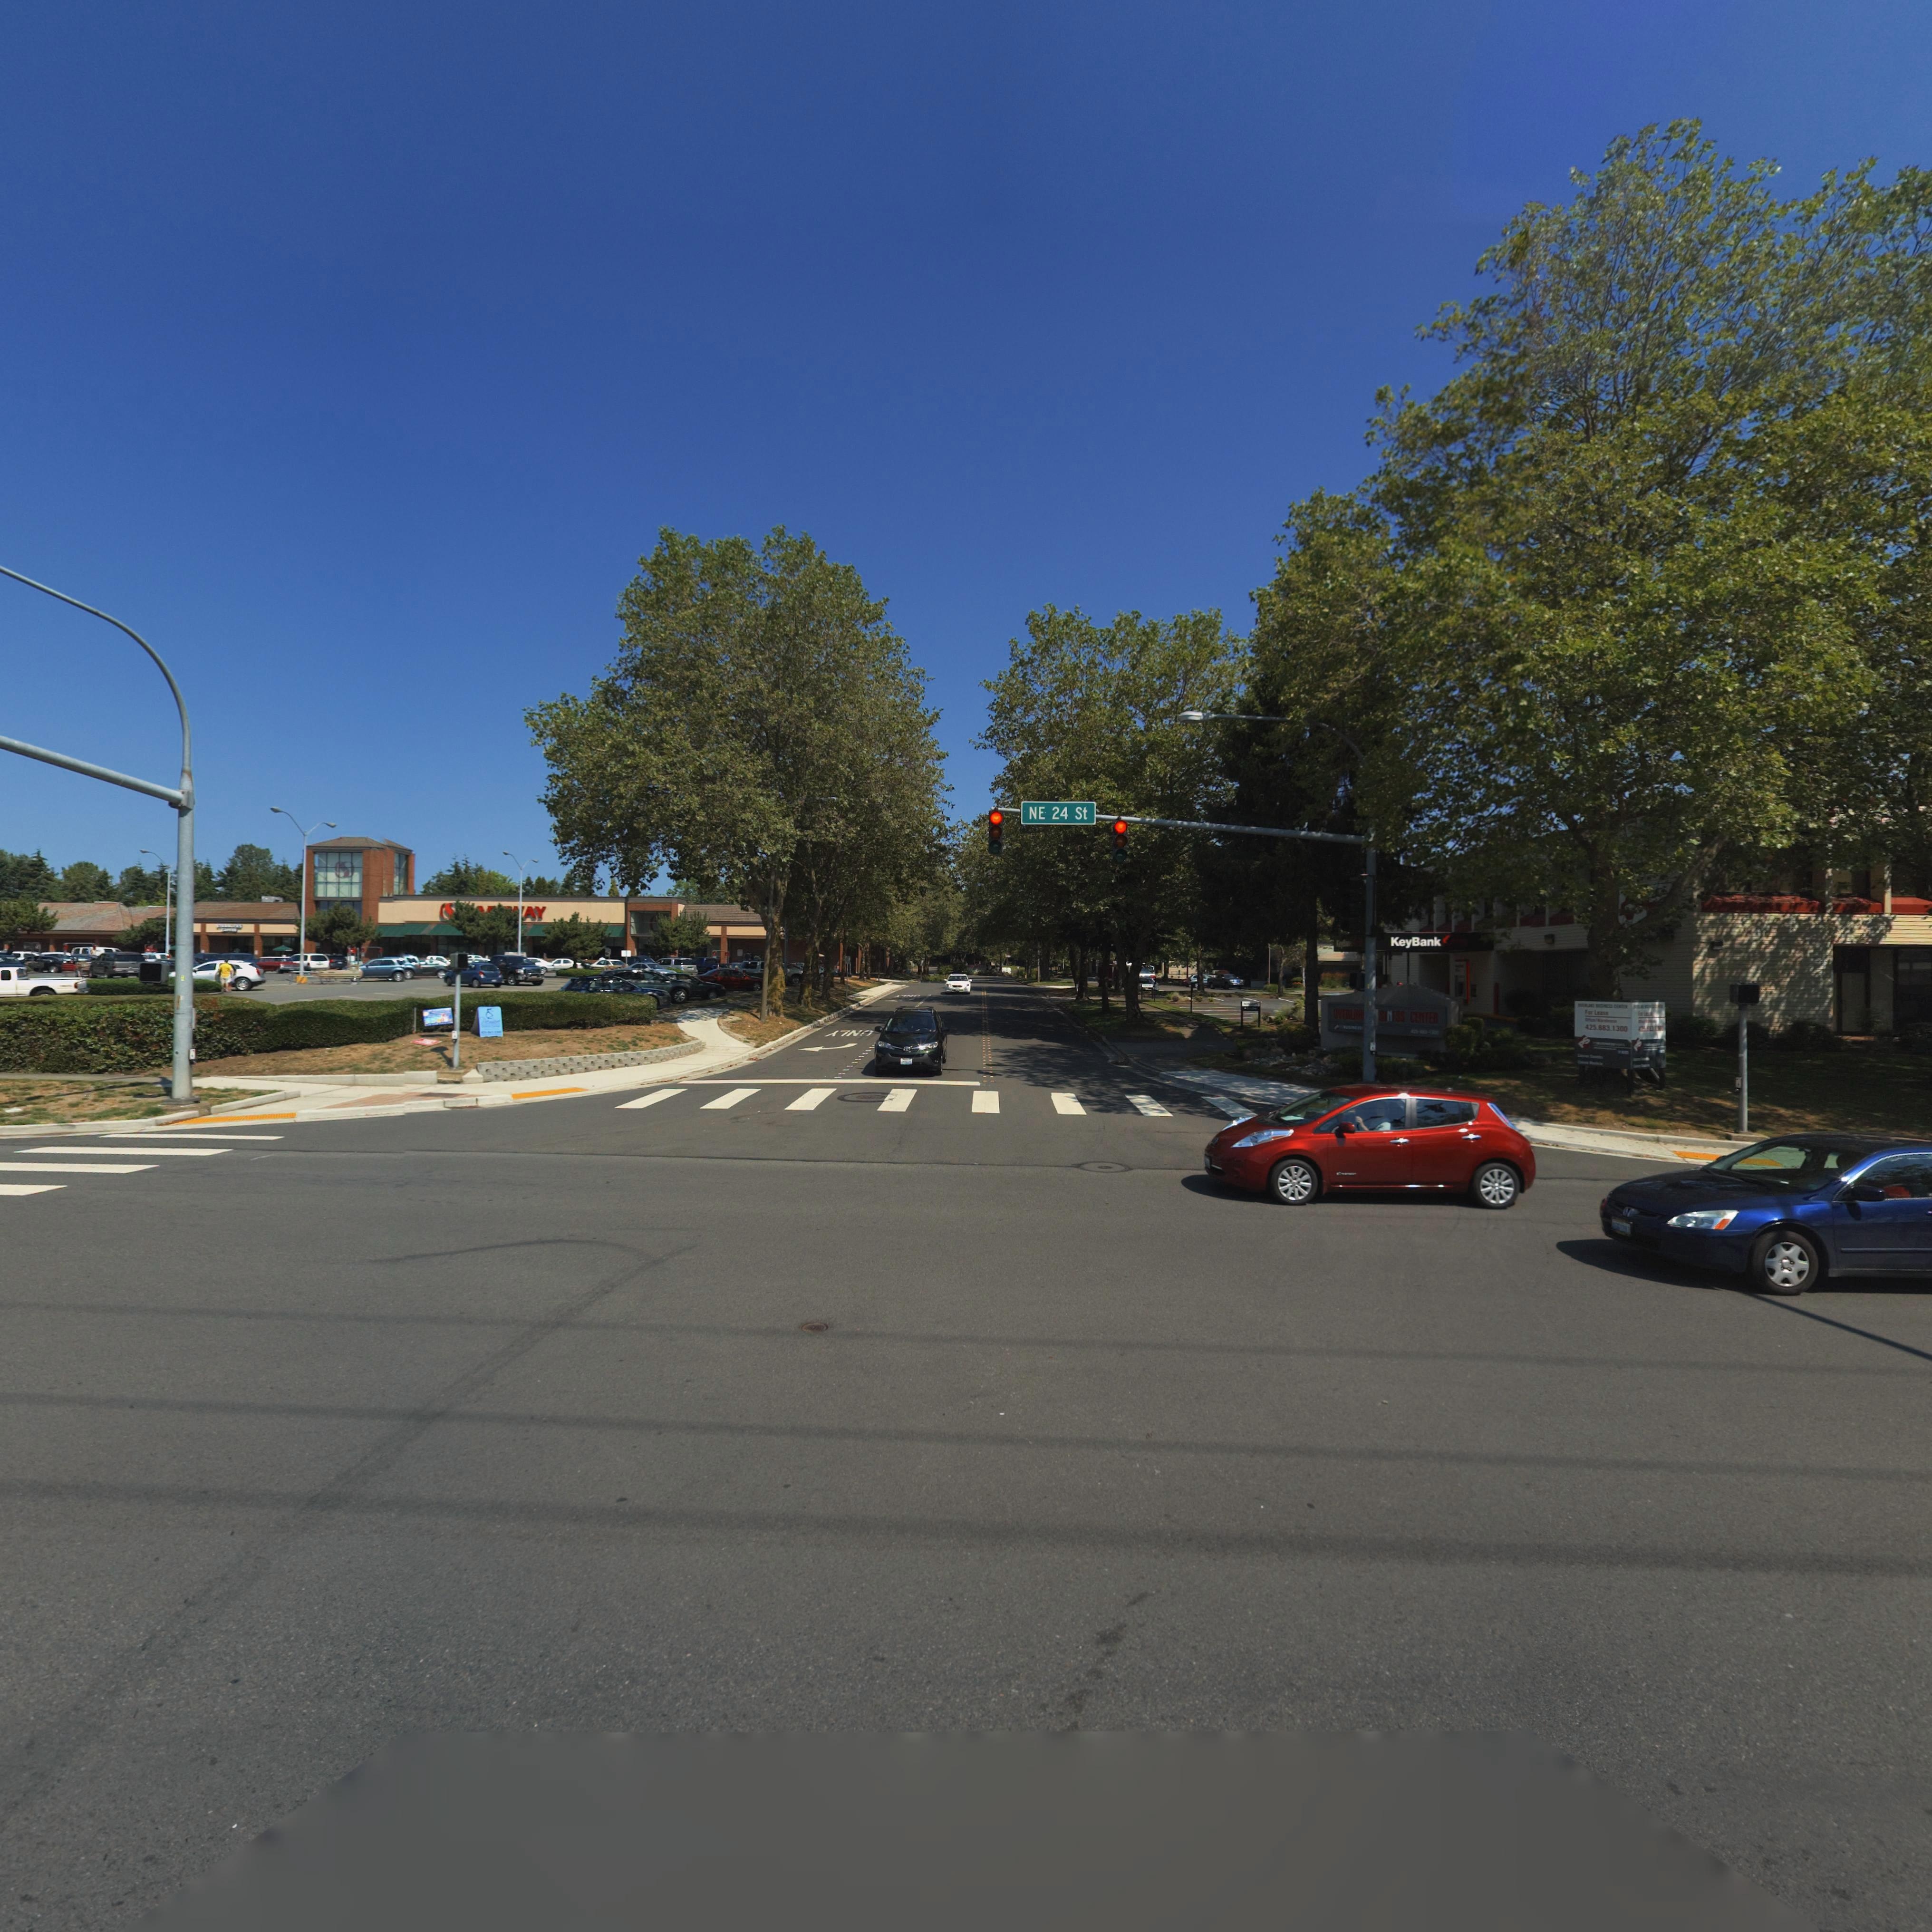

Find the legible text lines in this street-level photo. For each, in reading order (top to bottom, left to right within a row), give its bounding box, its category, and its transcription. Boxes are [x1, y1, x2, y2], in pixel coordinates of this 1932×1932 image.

[1028, 805, 1089, 820] StreetName: NE 24 St
[1391, 937, 1440, 947] BusinessName: KeyBank
[1408, 1009, 1440, 1025] SecondaryUnitDesignator: CENTER